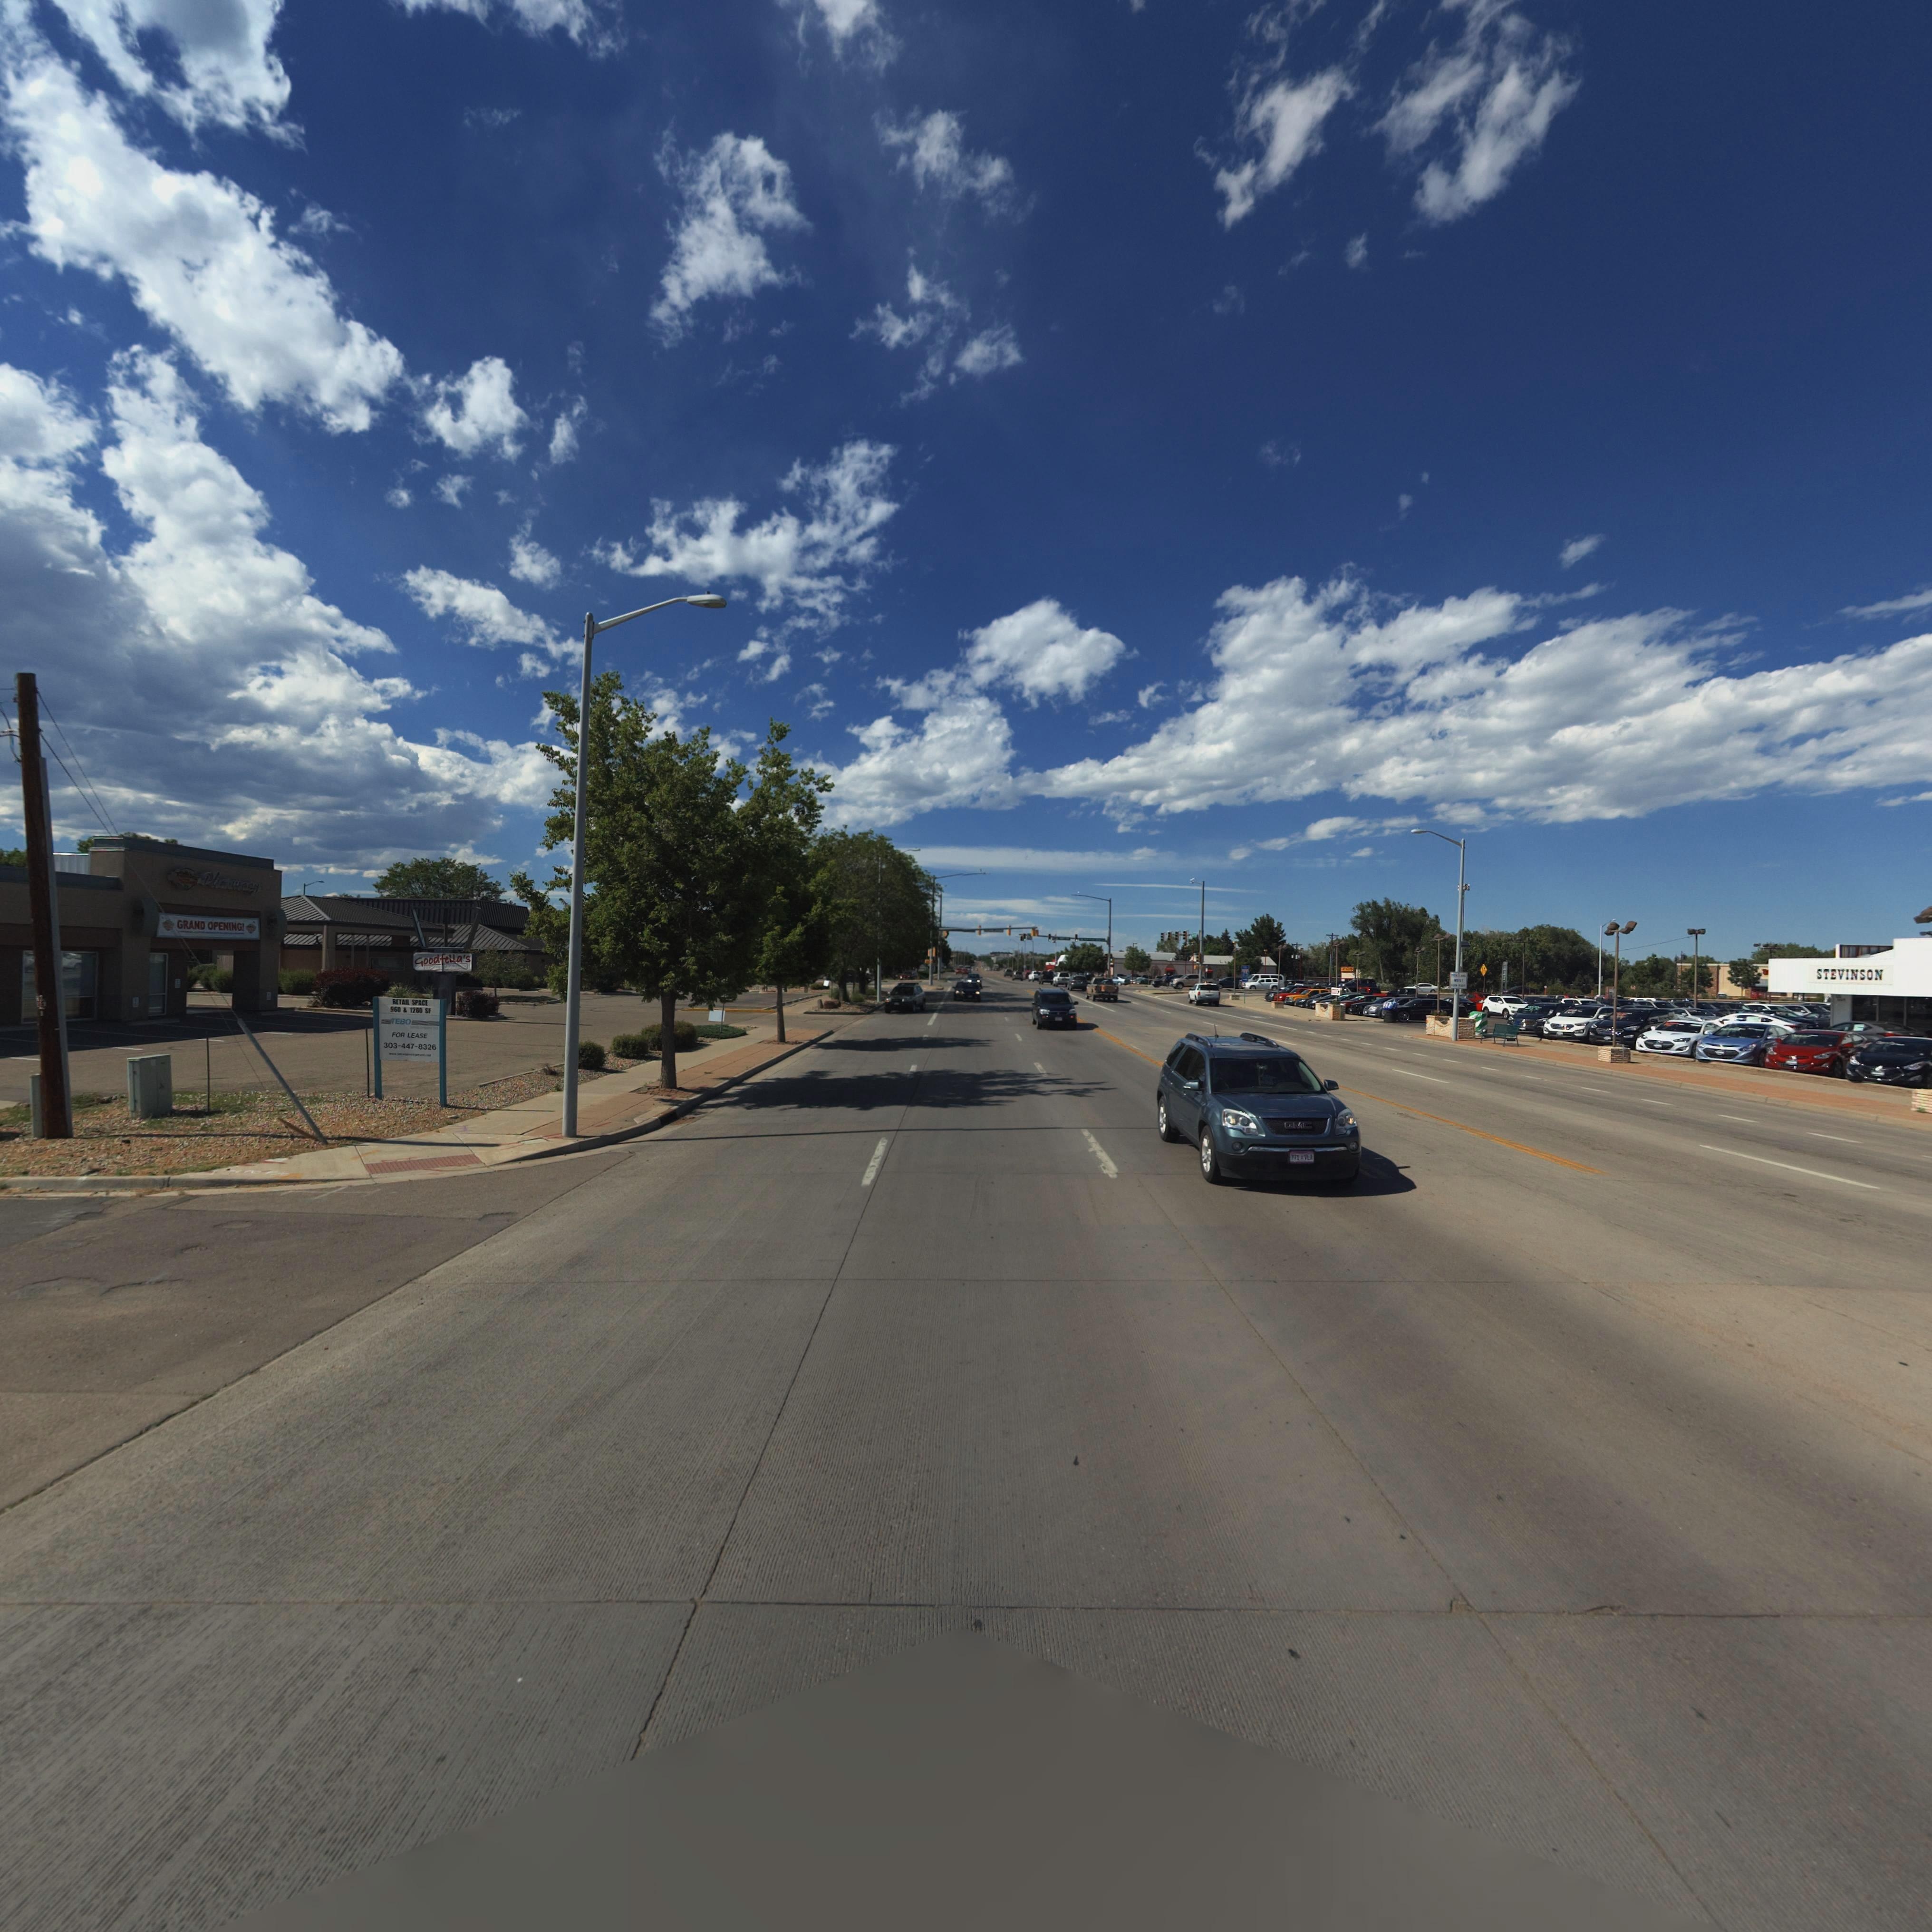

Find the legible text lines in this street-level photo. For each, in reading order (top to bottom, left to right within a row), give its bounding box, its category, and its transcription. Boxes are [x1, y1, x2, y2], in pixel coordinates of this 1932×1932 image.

[201, 870, 261, 895] BusinessName: Pha*m*cy
[414, 953, 471, 967] BusinessName: Goodfella's
[1342, 967, 1354, 970] BusinessName: ZO*
[1815, 968, 1884, 981] BusinessName: STEVINSON